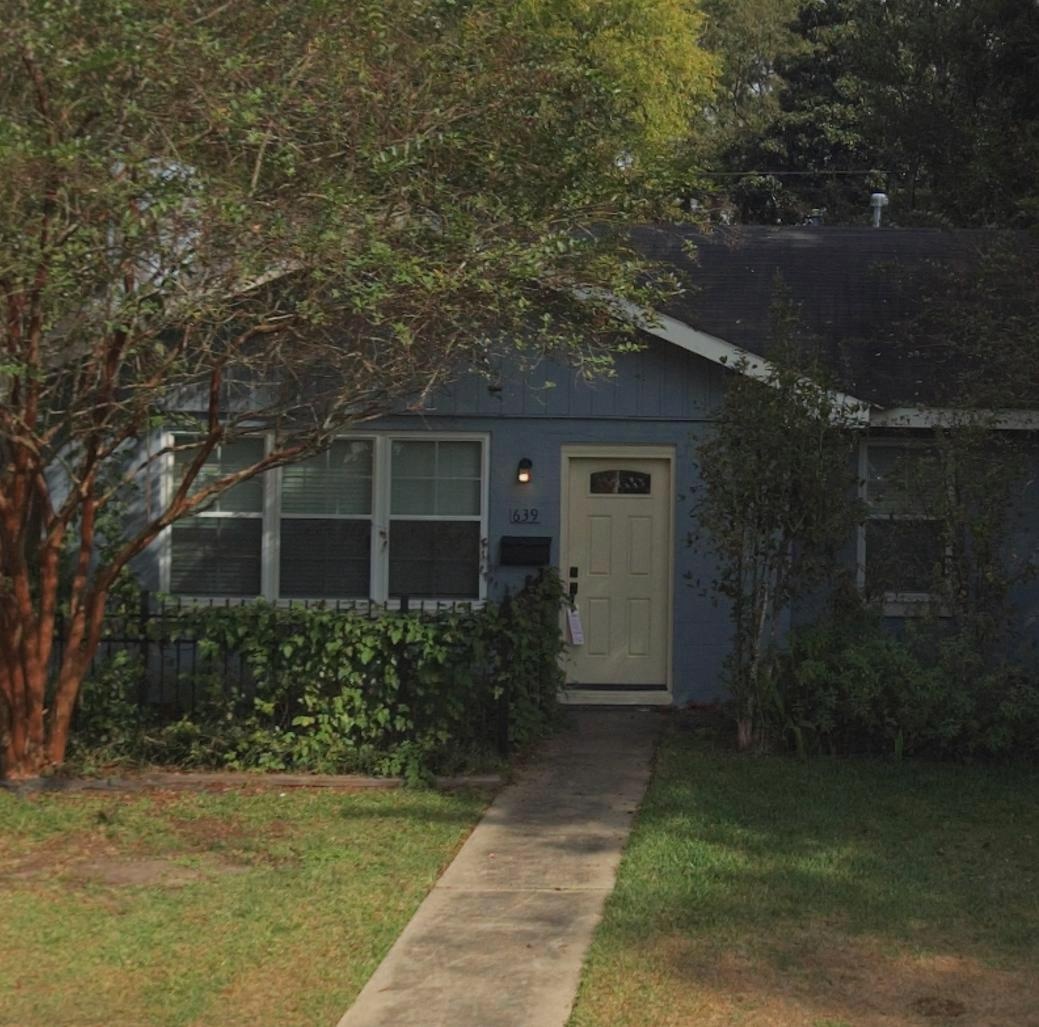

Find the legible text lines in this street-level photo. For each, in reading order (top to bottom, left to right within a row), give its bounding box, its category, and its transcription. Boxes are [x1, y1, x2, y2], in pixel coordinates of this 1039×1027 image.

[511, 507, 540, 523] StreetNumber: 639